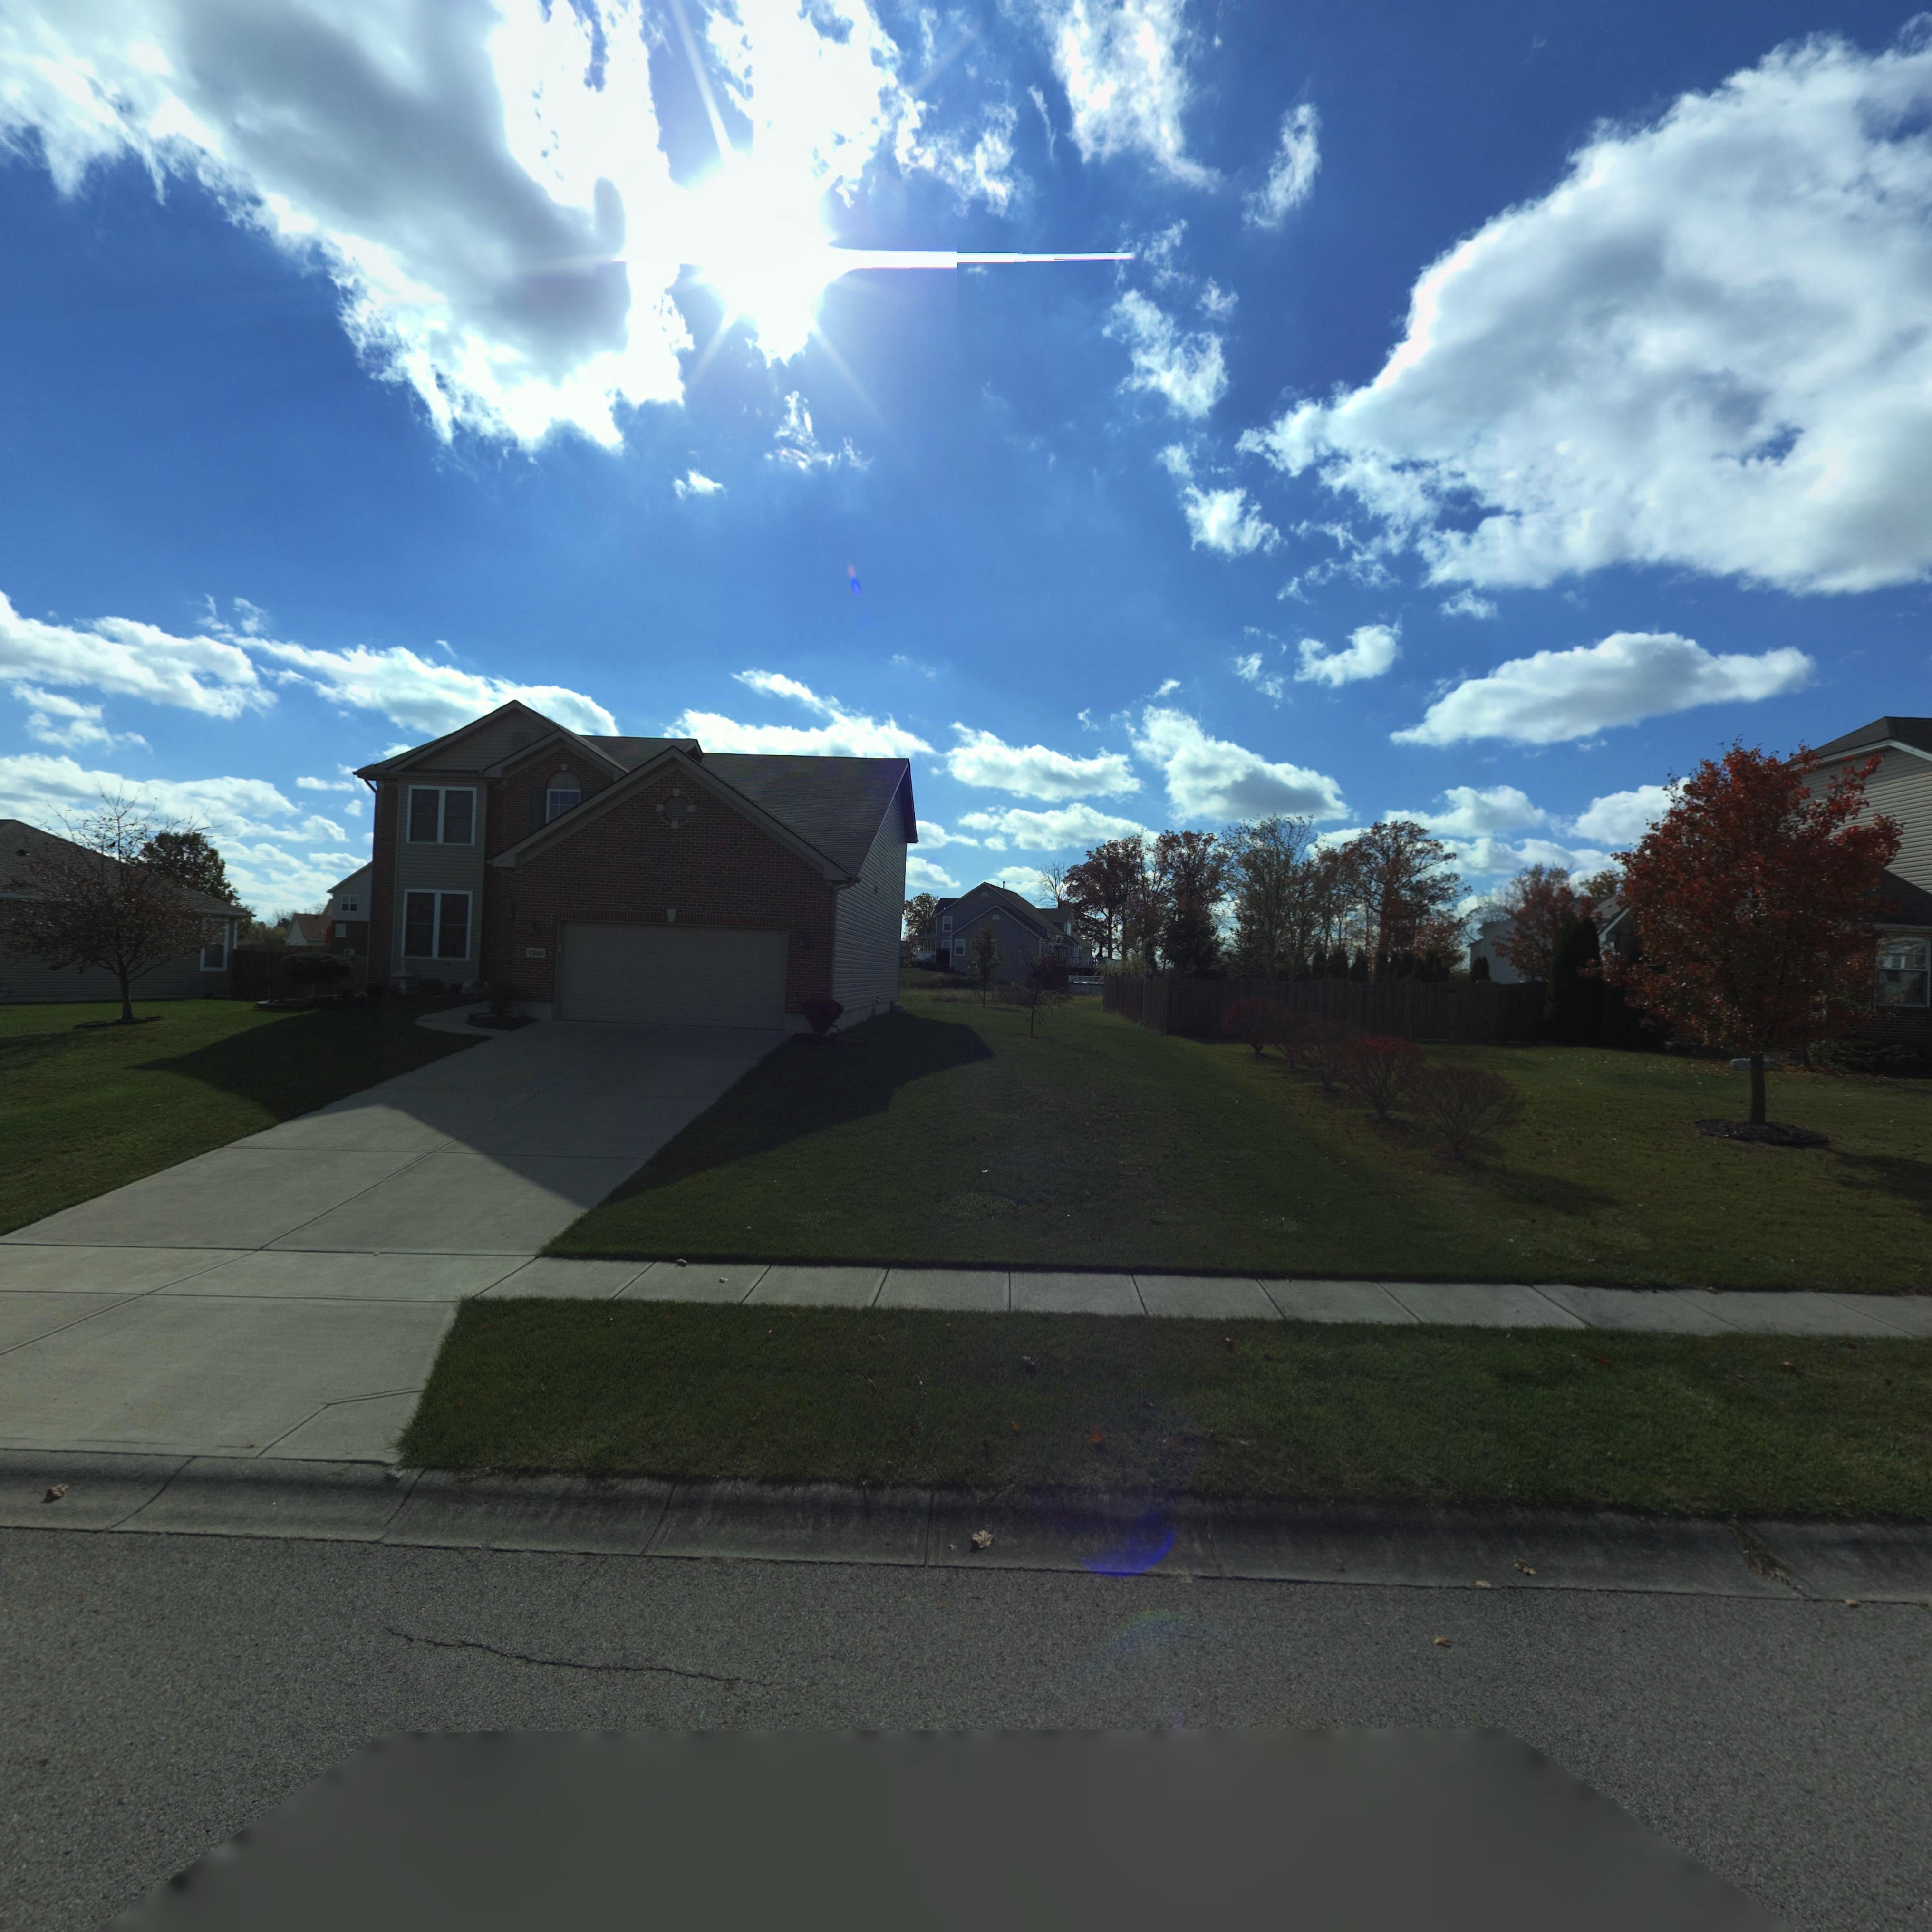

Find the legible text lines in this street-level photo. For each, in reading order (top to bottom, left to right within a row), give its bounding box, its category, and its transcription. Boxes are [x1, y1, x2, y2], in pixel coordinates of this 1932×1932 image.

[528, 949, 544, 956] StreetNumber: 7340